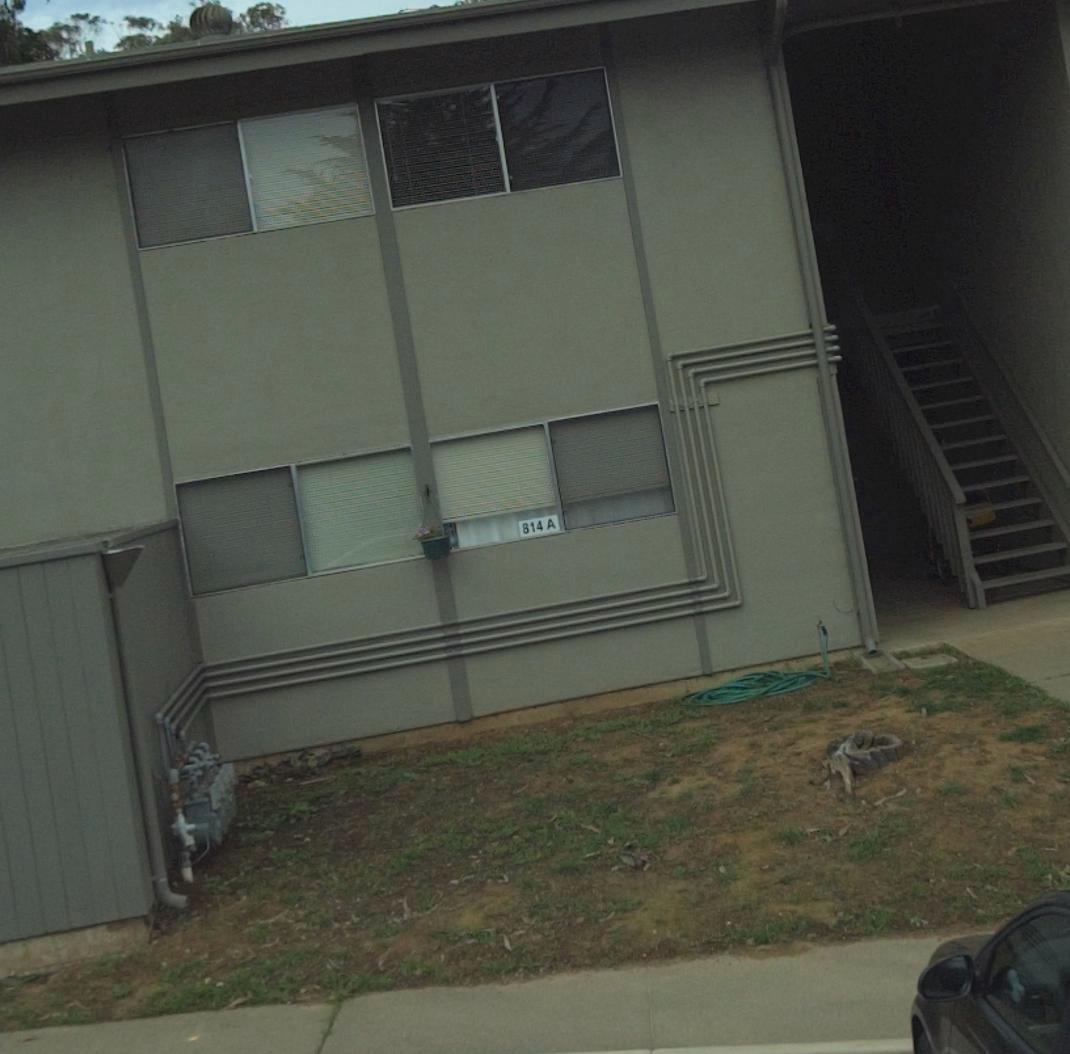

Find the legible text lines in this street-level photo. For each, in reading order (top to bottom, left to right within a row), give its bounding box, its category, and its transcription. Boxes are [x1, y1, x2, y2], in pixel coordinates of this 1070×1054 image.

[519, 516, 558, 536] StreetNumber: 814 A